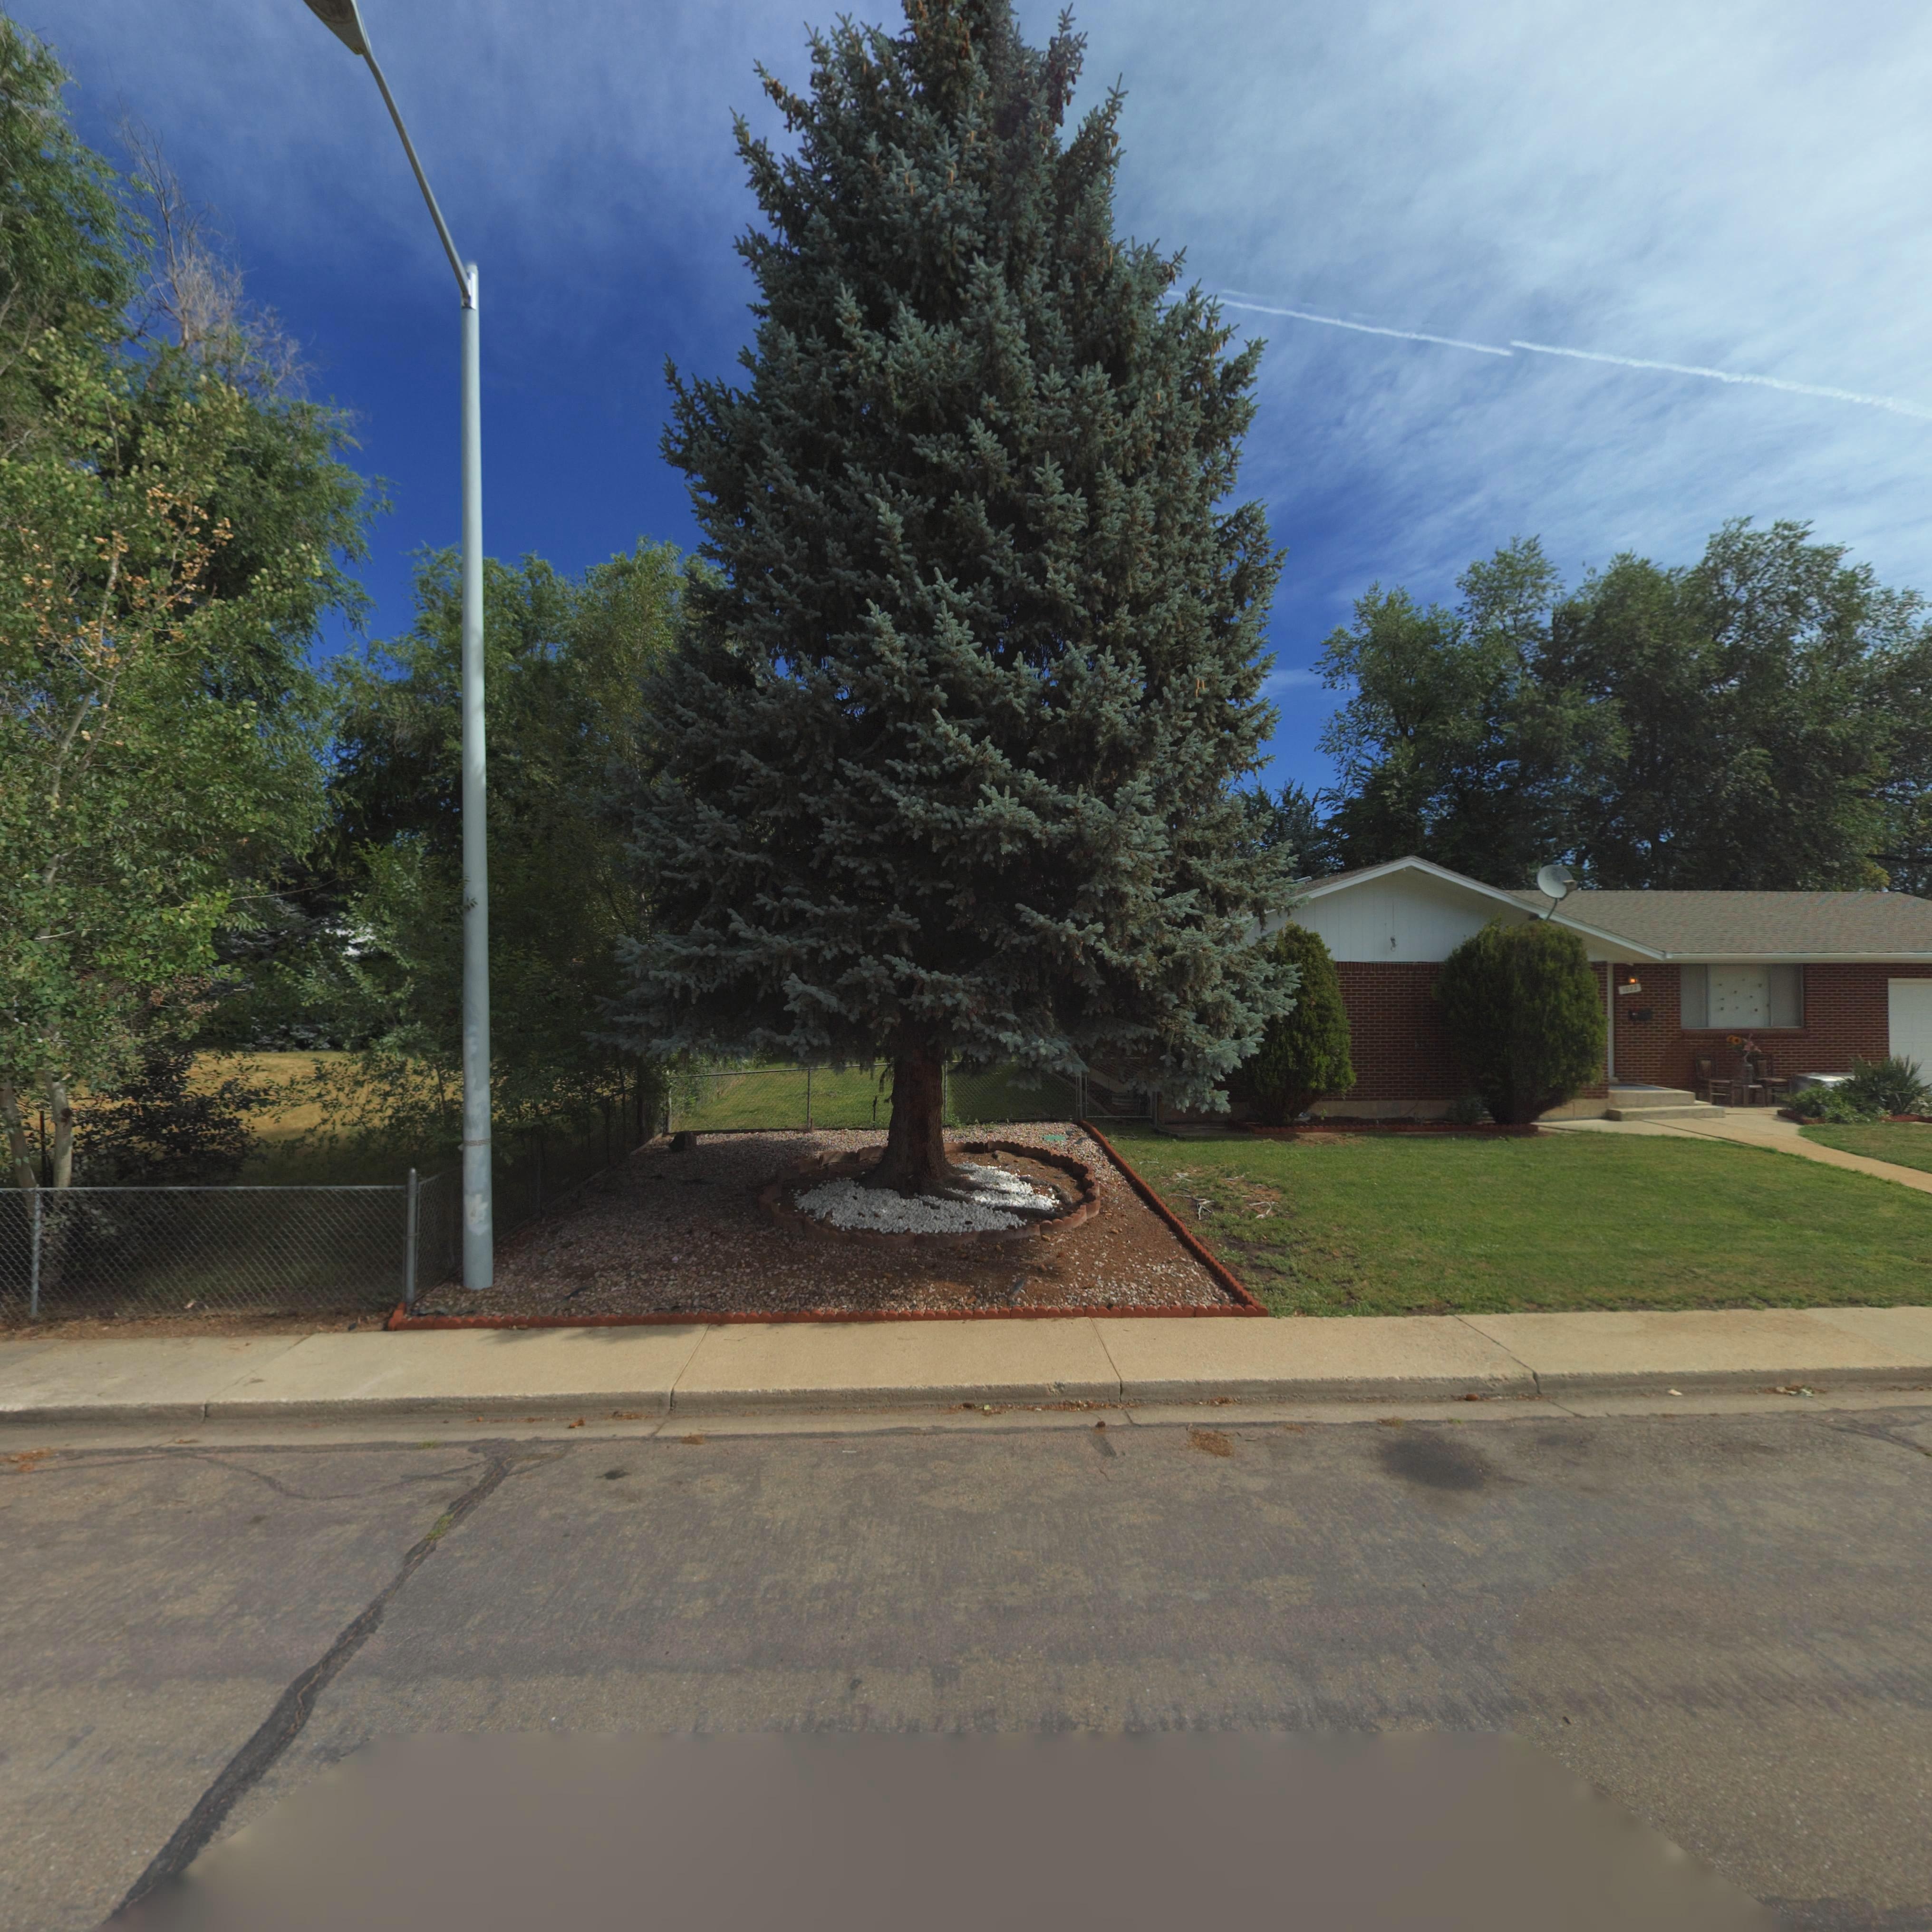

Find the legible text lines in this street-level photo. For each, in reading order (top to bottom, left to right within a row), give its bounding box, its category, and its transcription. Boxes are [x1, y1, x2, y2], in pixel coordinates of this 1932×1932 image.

[1622, 984, 1638, 993] StreetNumber: 10**